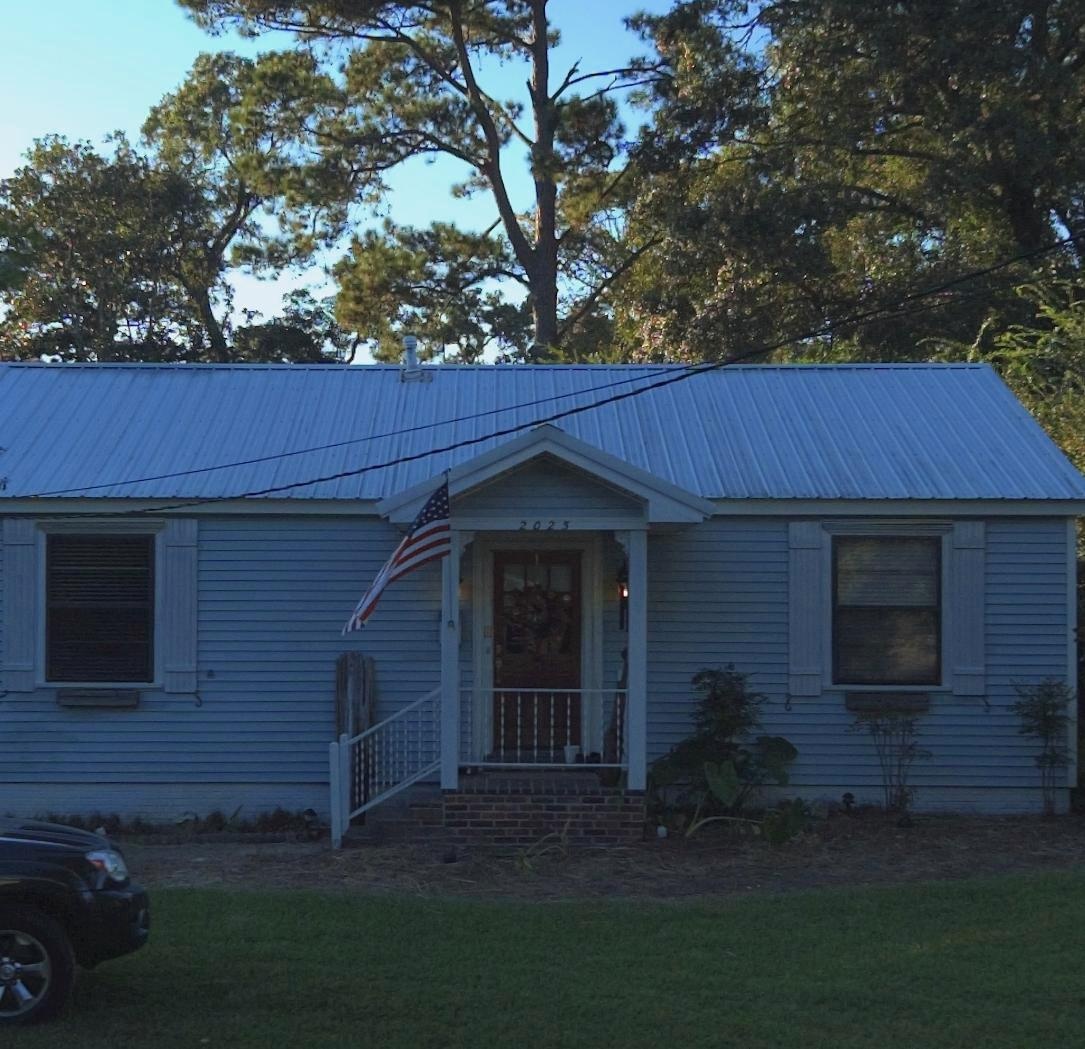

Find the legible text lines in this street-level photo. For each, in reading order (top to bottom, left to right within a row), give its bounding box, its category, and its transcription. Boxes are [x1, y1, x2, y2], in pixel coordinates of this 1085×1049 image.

[517, 518, 572, 532] StreetNumber: 2025